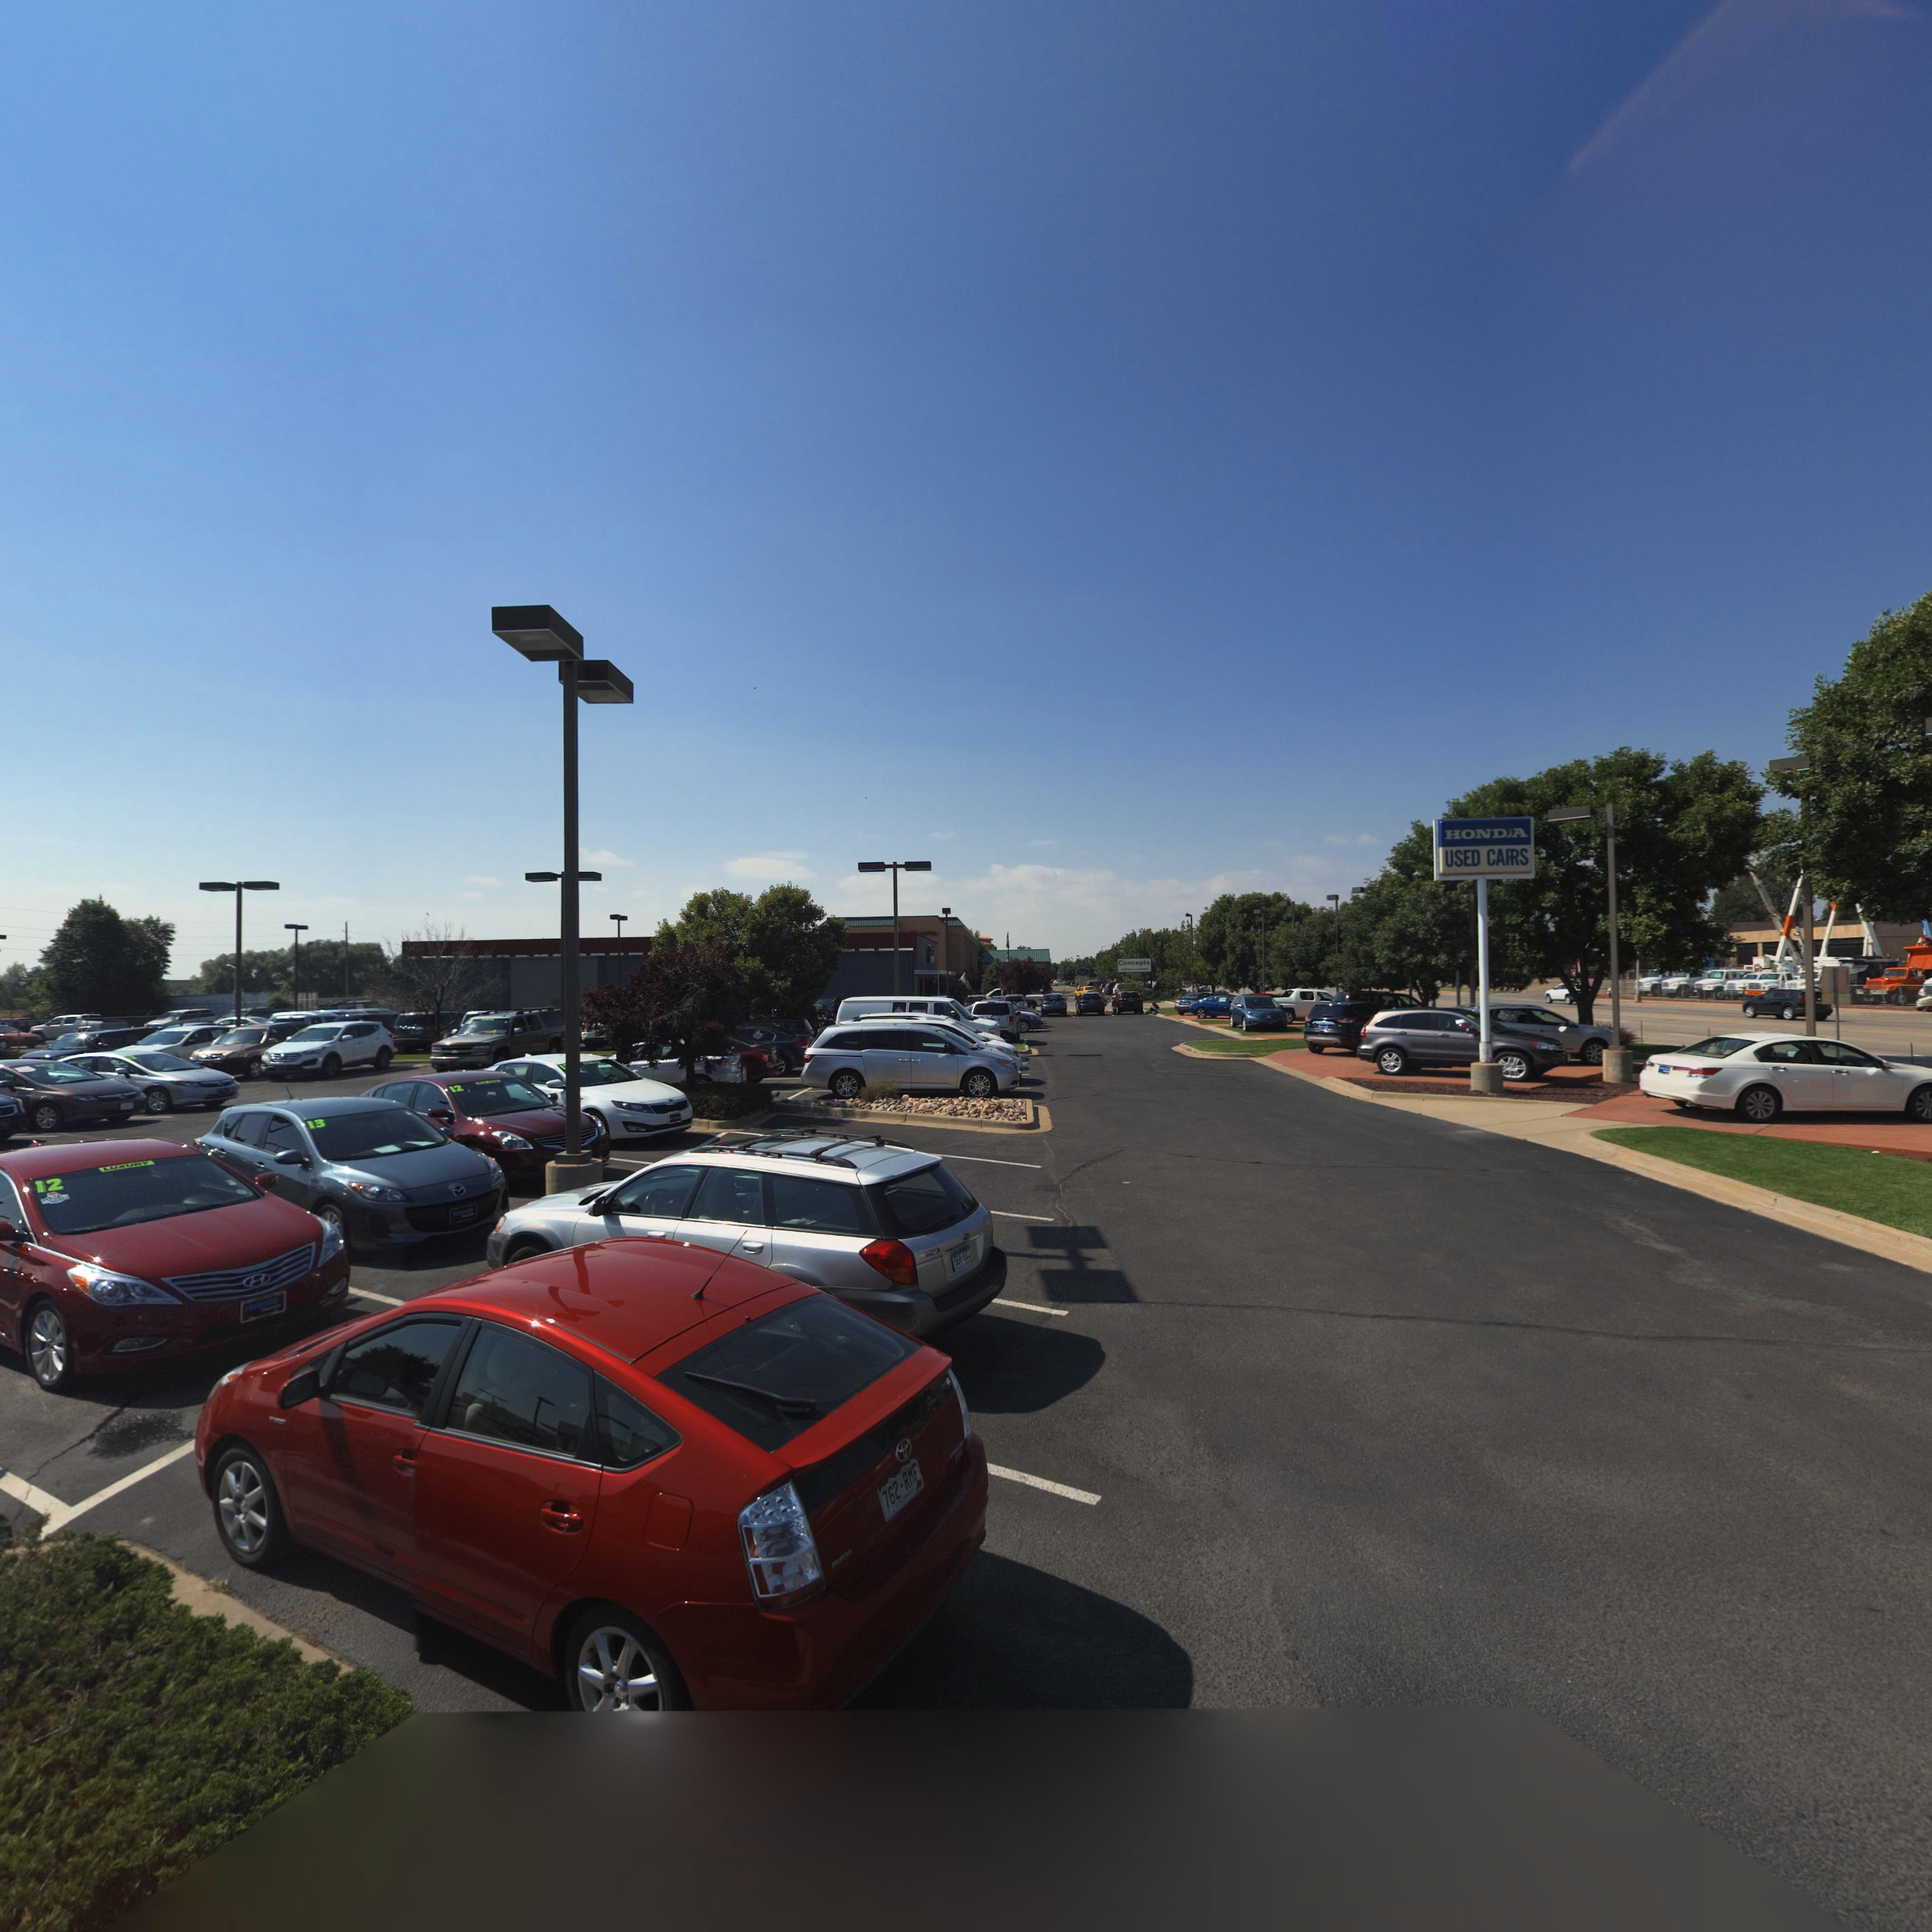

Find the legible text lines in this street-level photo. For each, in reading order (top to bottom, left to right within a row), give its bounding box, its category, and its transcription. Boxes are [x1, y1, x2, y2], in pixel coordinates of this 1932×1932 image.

[1444, 827, 1529, 840] BusinessName: HOND*A
[1444, 847, 1530, 868] BusinessName: USED CA*S
[1118, 960, 1150, 966] BusinessName: Concepts